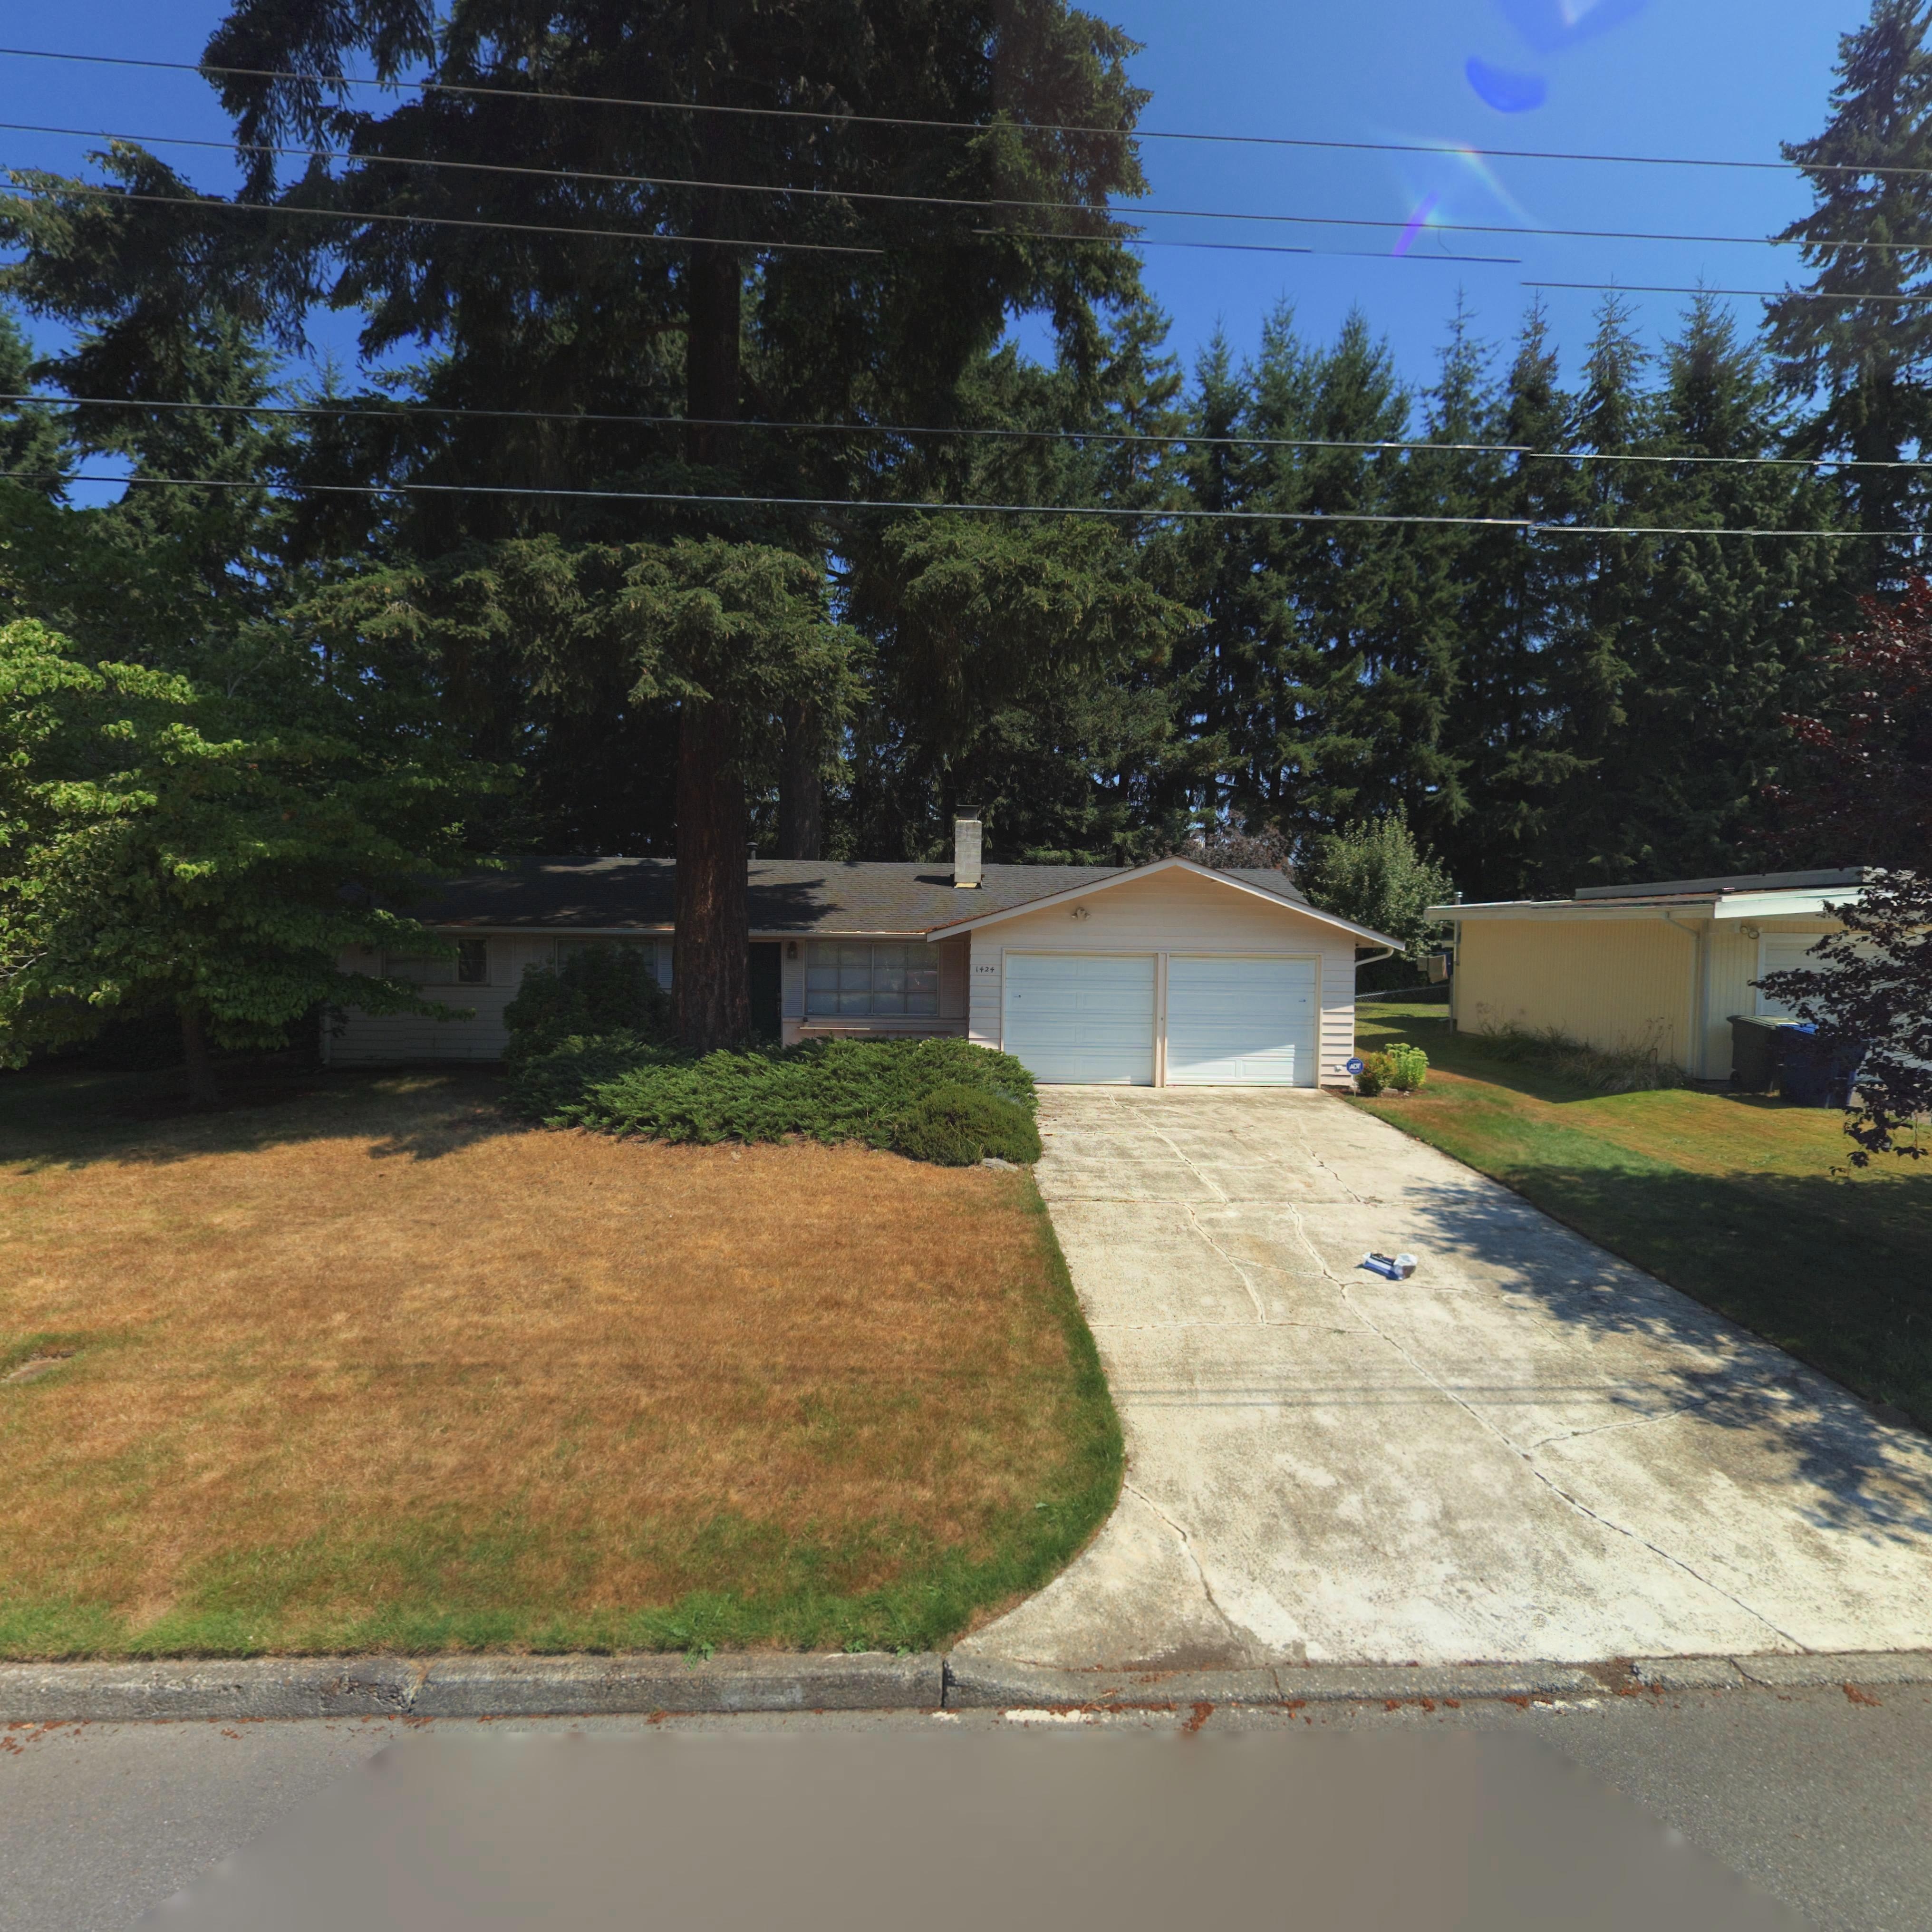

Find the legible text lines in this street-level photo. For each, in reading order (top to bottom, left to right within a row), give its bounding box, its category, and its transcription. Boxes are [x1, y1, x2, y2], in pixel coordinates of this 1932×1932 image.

[974, 965, 995, 973] StreetNumber: 1424